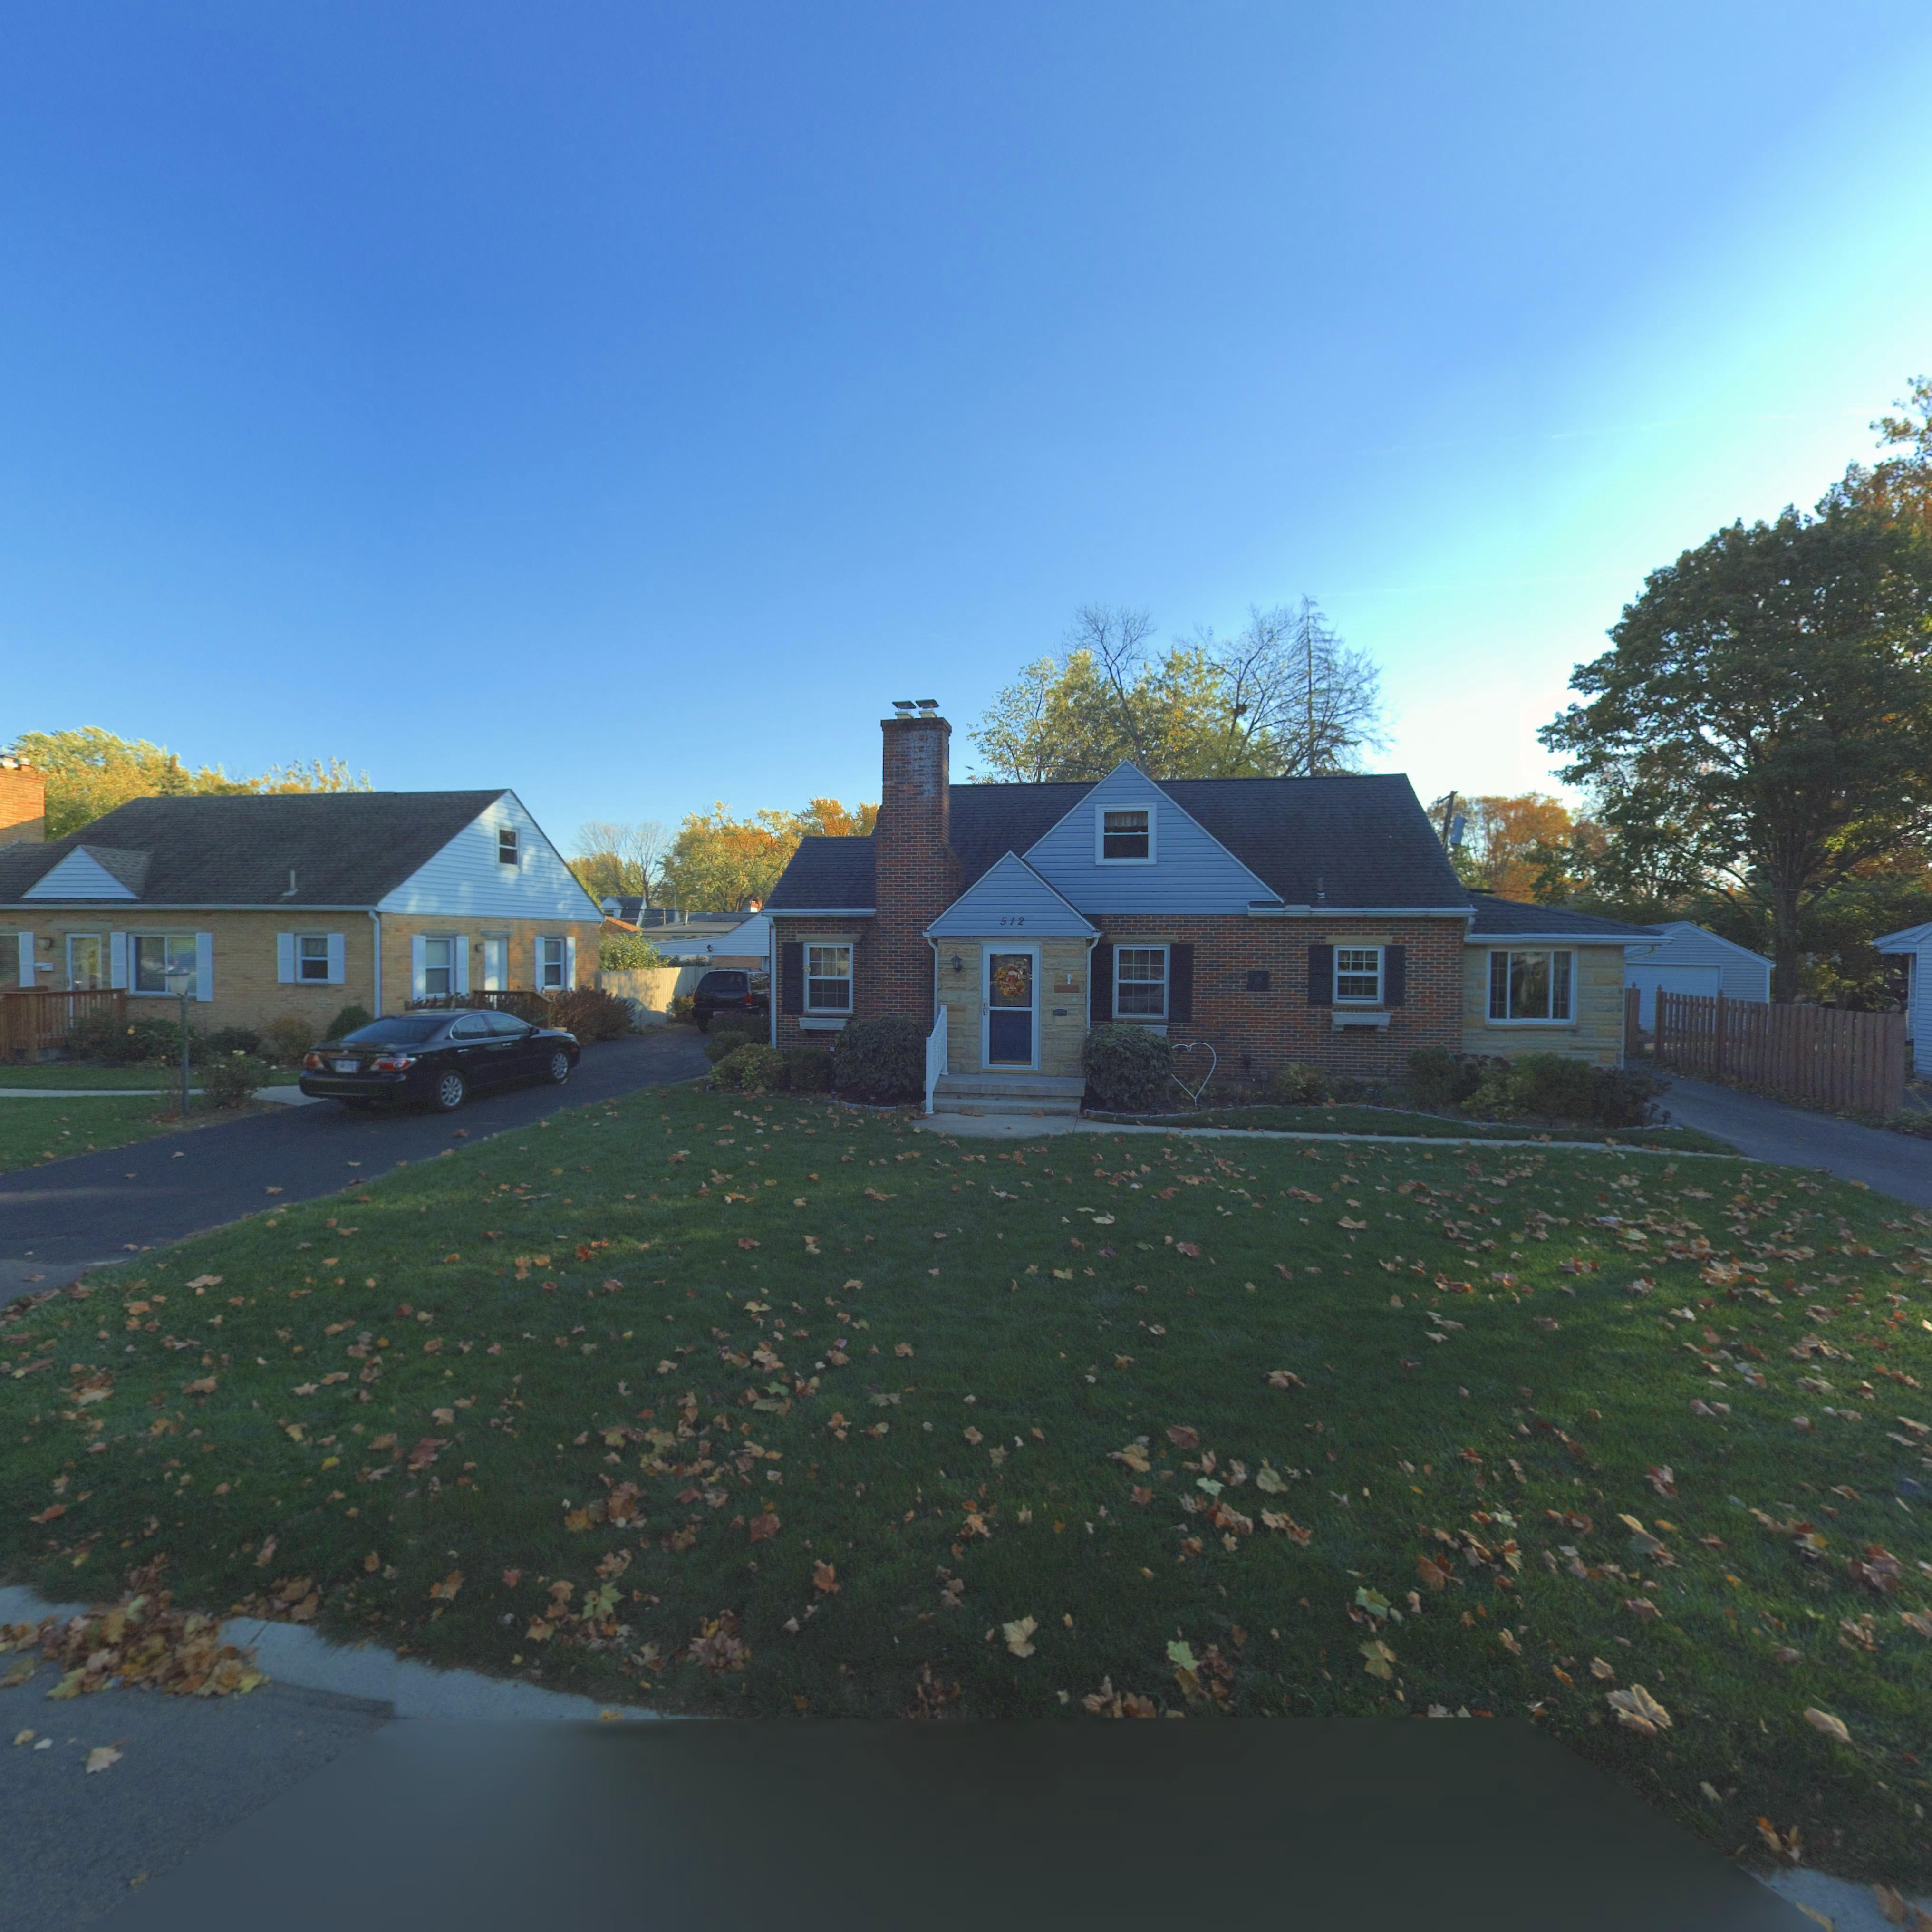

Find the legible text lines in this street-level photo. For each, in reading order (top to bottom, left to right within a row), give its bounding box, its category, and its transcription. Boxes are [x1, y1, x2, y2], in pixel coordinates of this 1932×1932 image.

[999, 916, 1025, 926] StreetNumber: 512